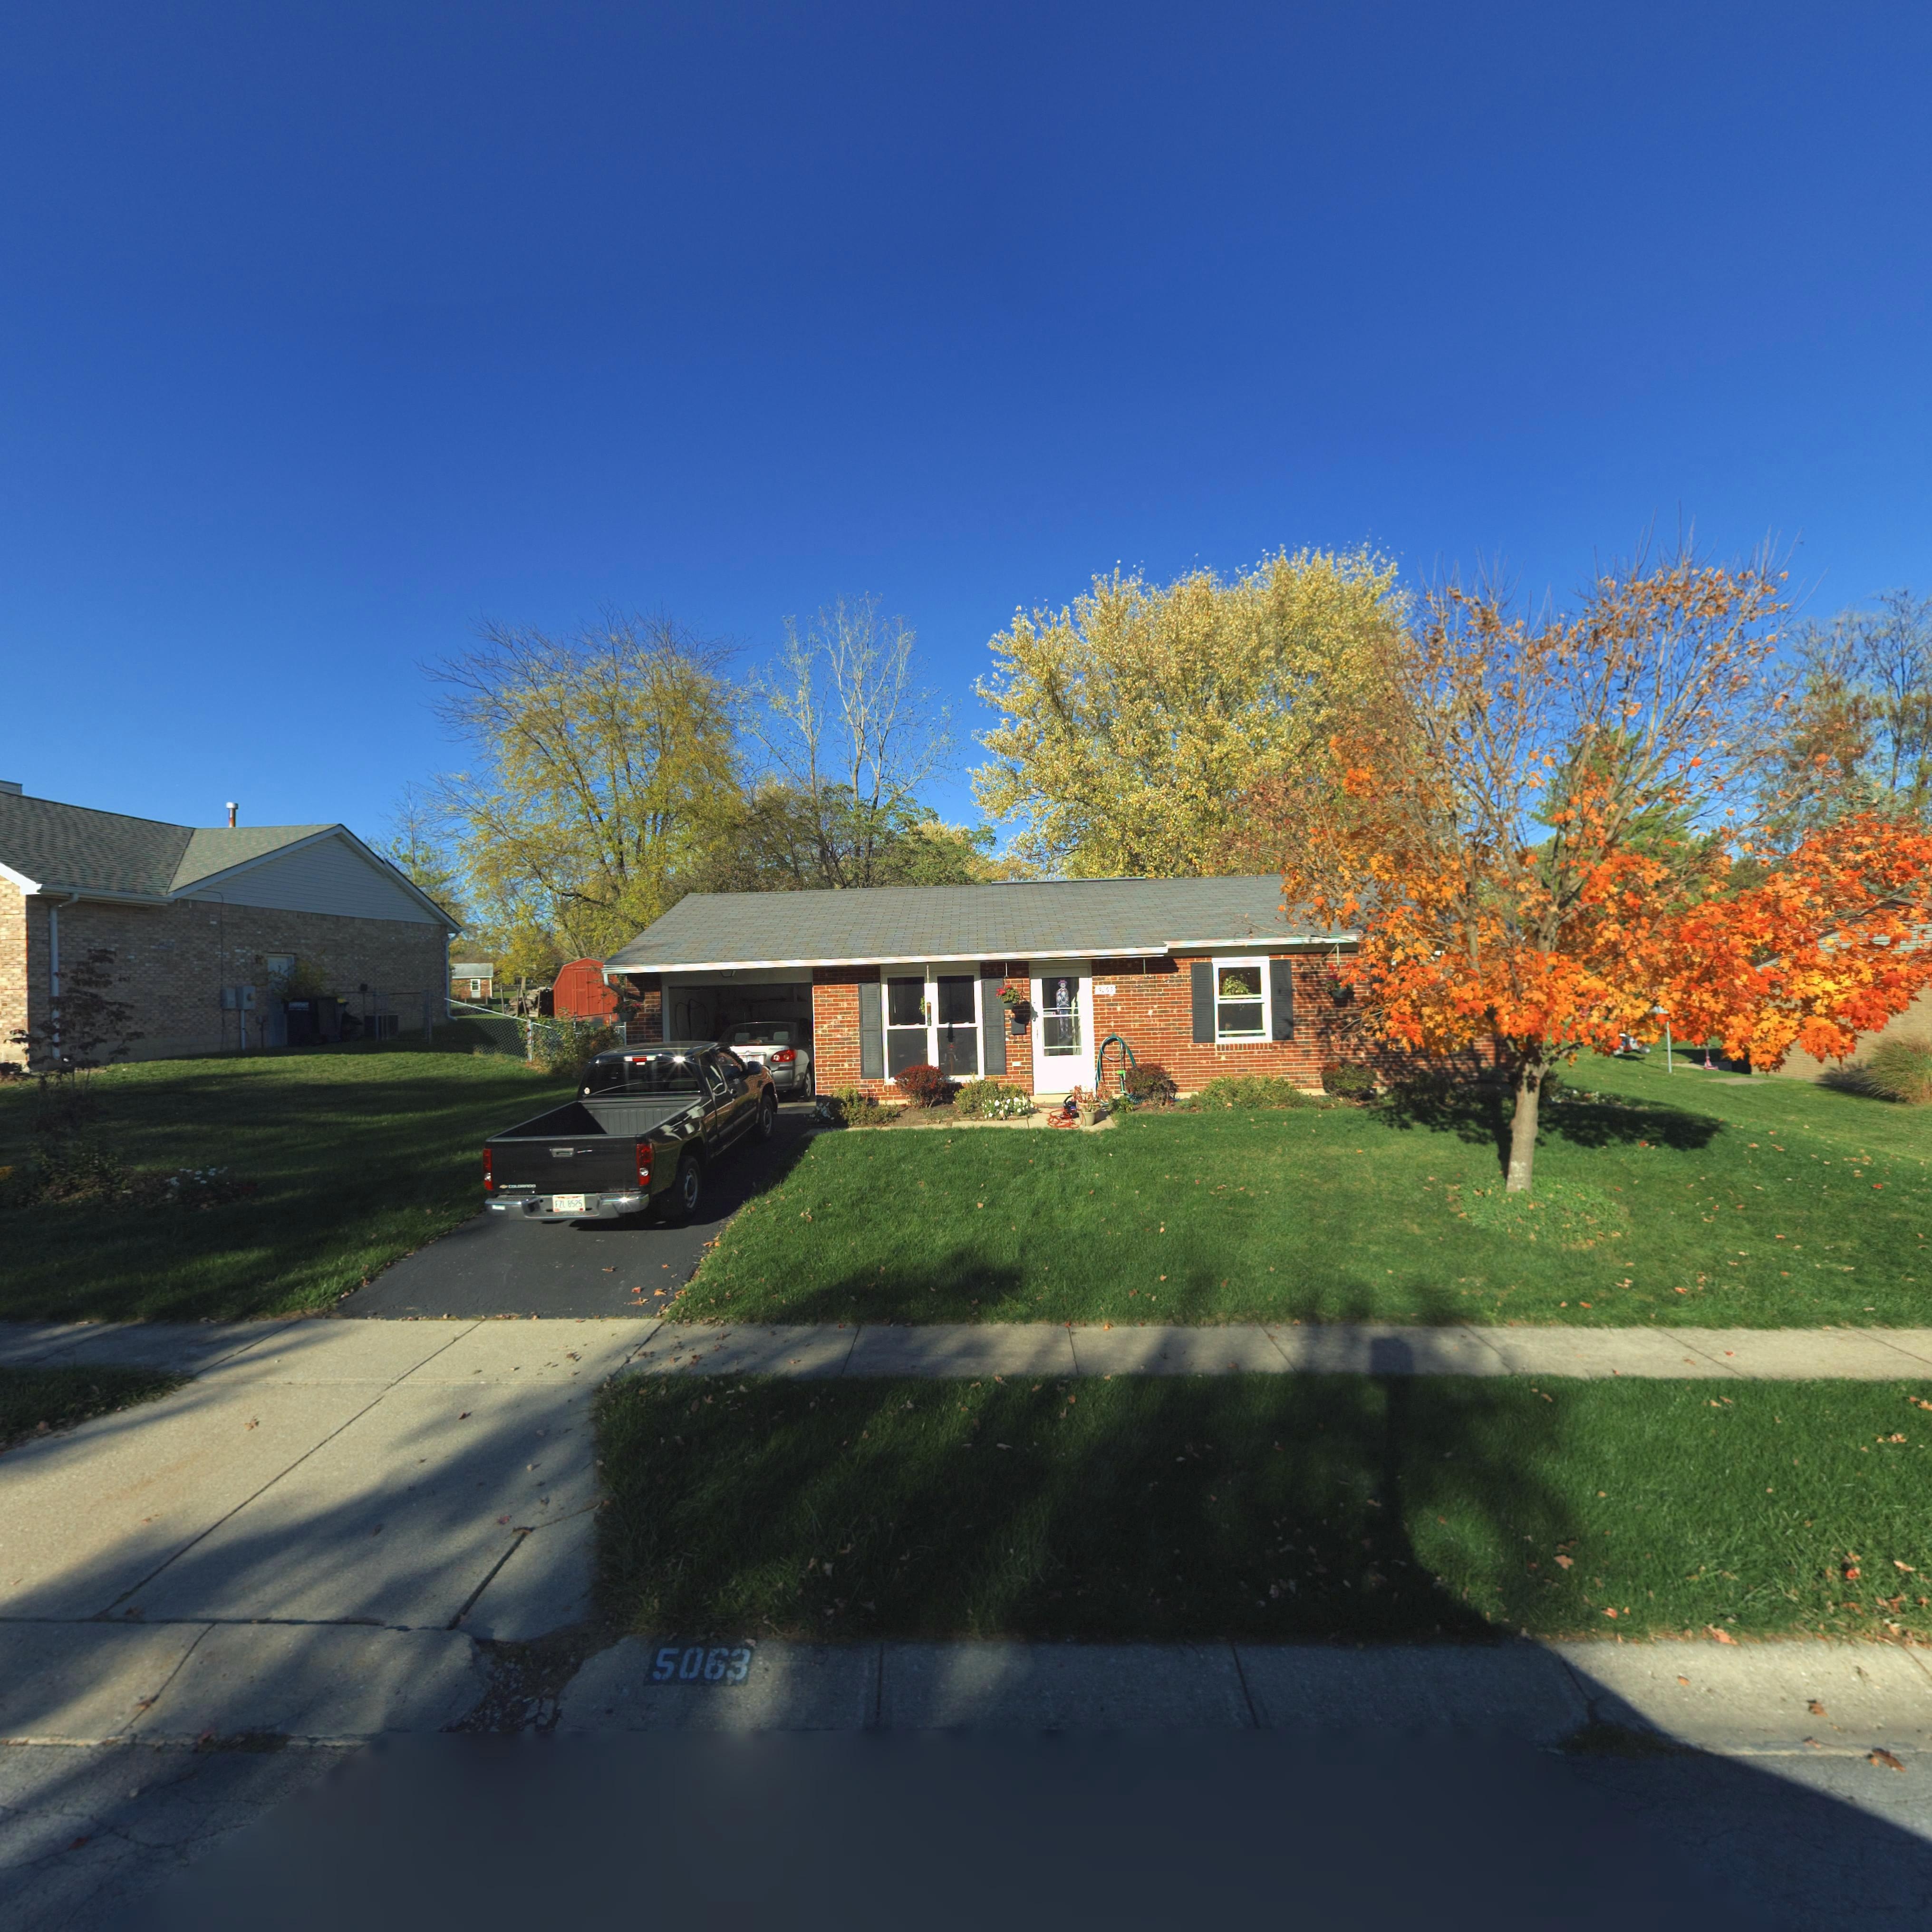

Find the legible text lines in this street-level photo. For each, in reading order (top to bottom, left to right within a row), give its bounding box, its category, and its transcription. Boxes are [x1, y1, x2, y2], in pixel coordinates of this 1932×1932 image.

[1097, 986, 1113, 993] StreetNumber: 5063
[649, 1646, 753, 1681] StreetNumber: 5063